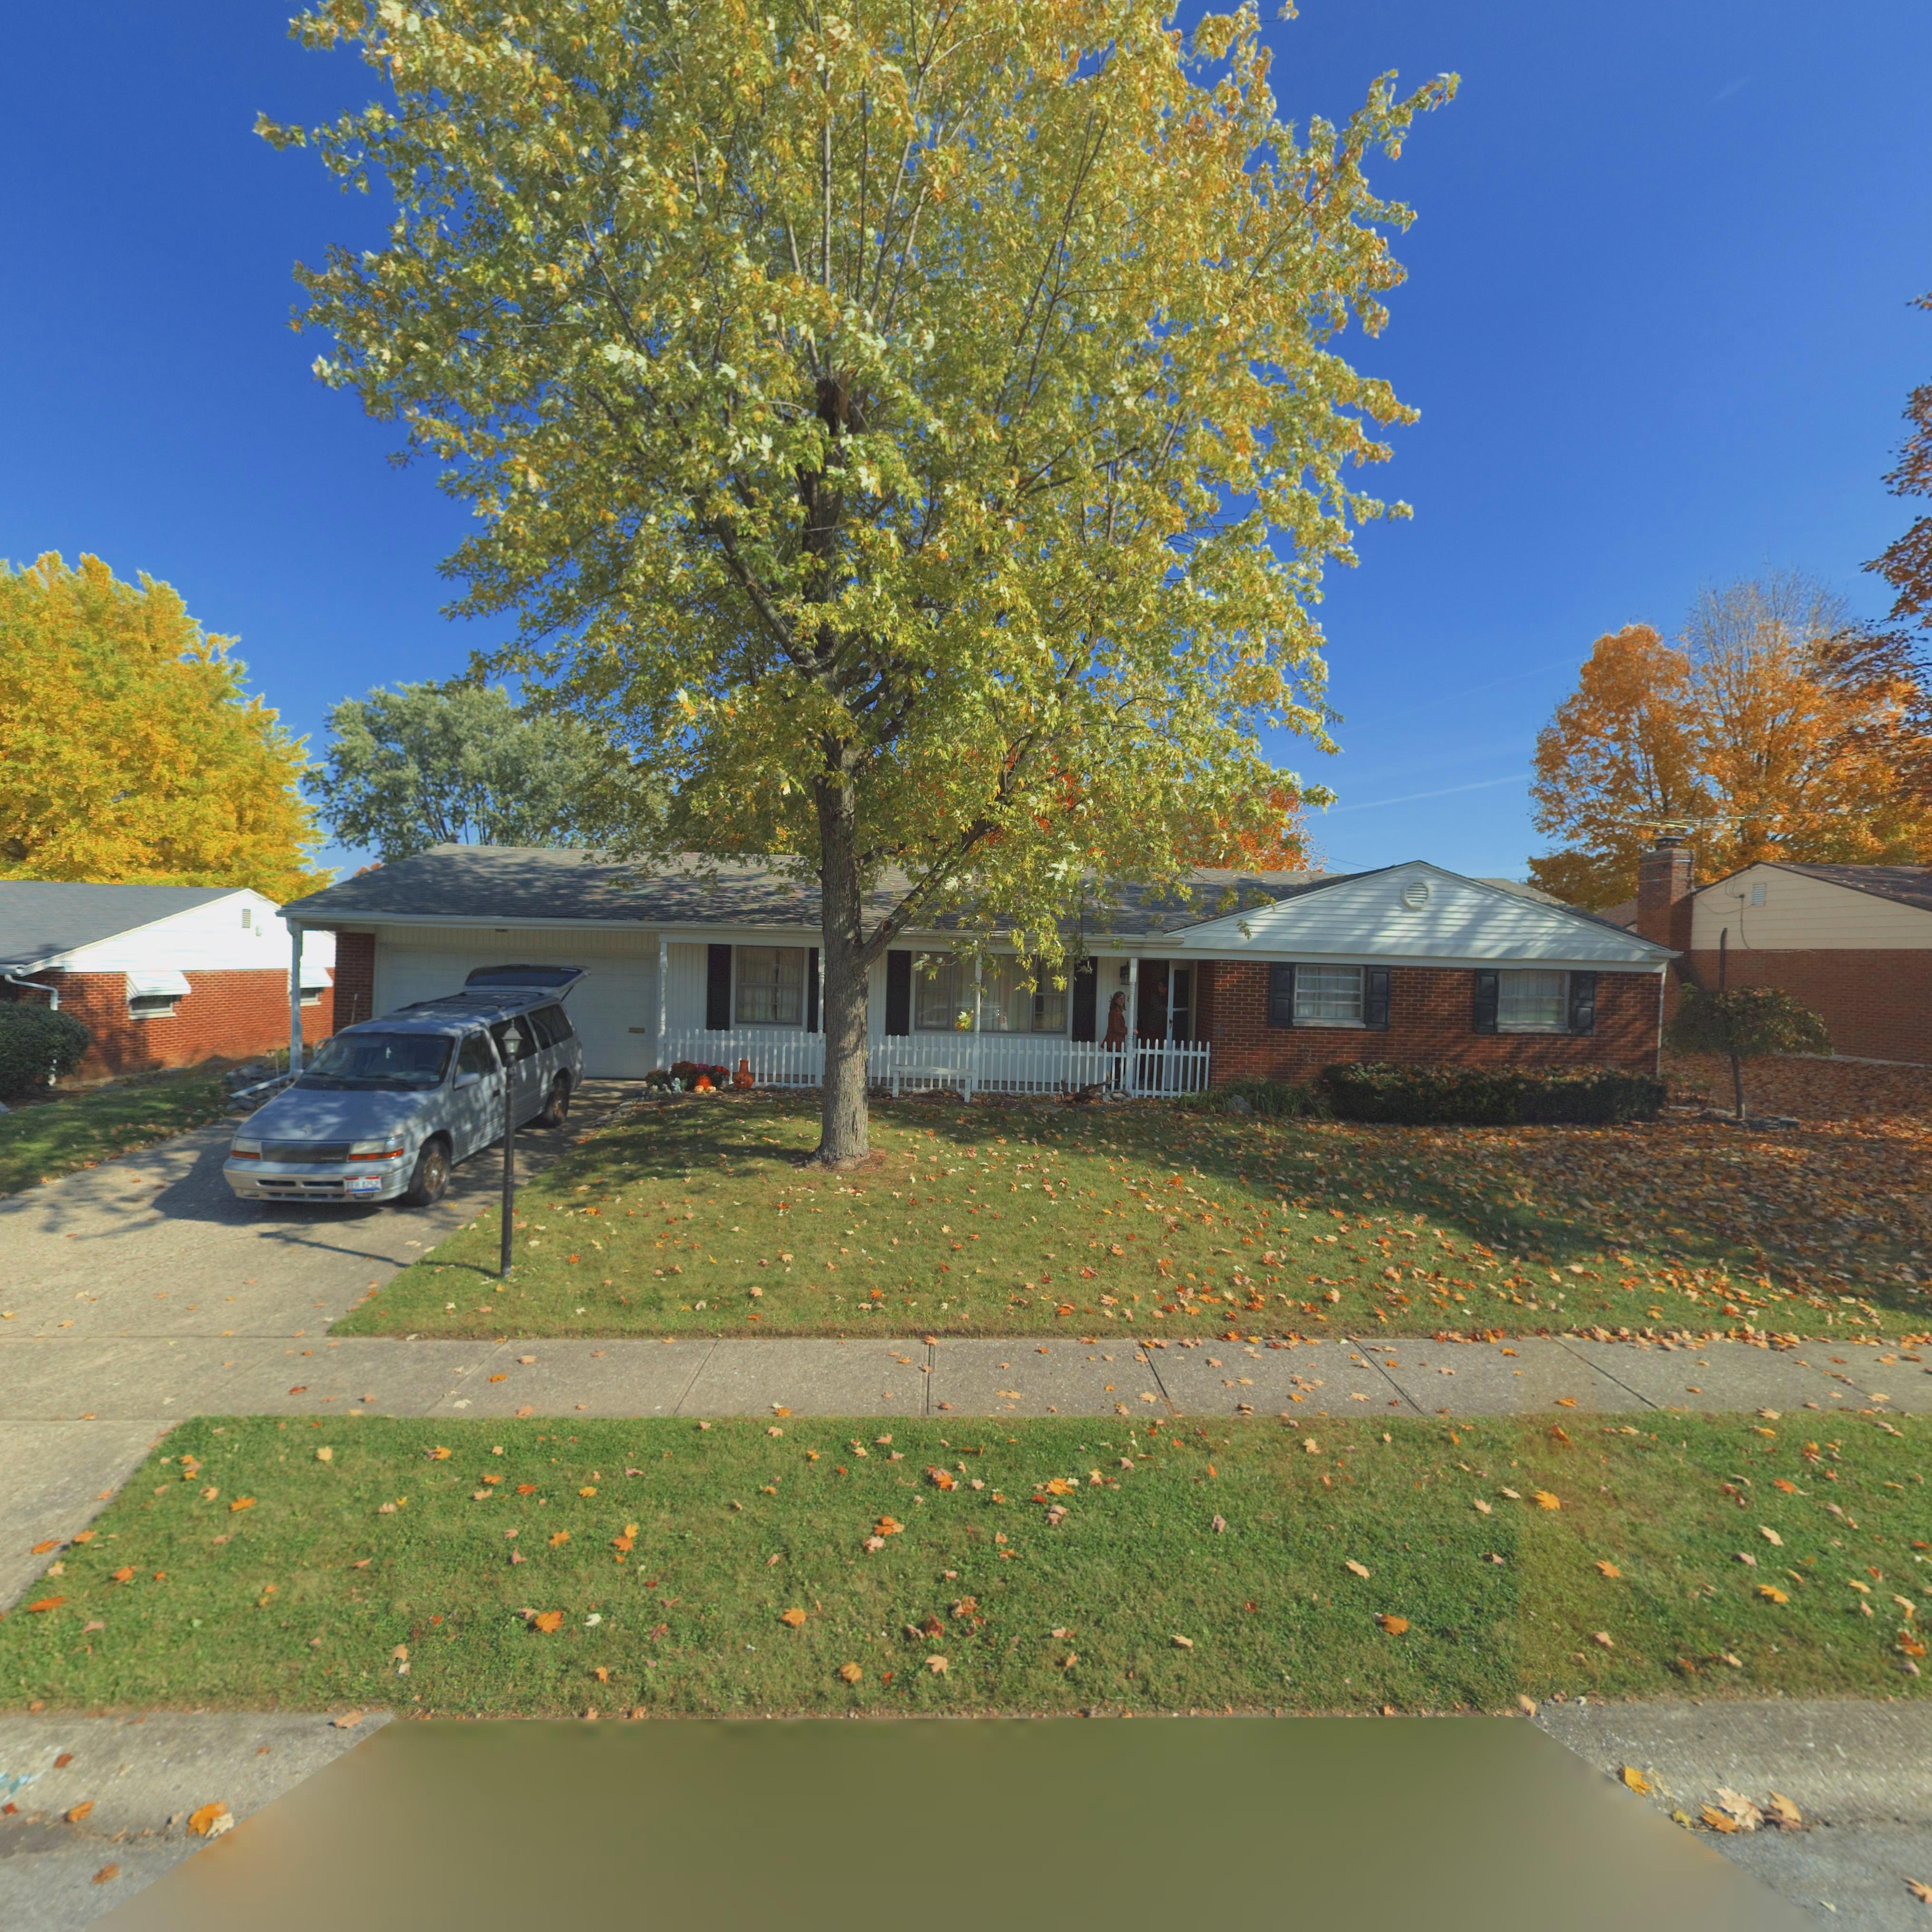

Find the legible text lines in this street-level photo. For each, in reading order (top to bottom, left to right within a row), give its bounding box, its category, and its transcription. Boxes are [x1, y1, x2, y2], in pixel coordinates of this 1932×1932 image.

[1108, 995, 1131, 1003] StreetNumber: 3***